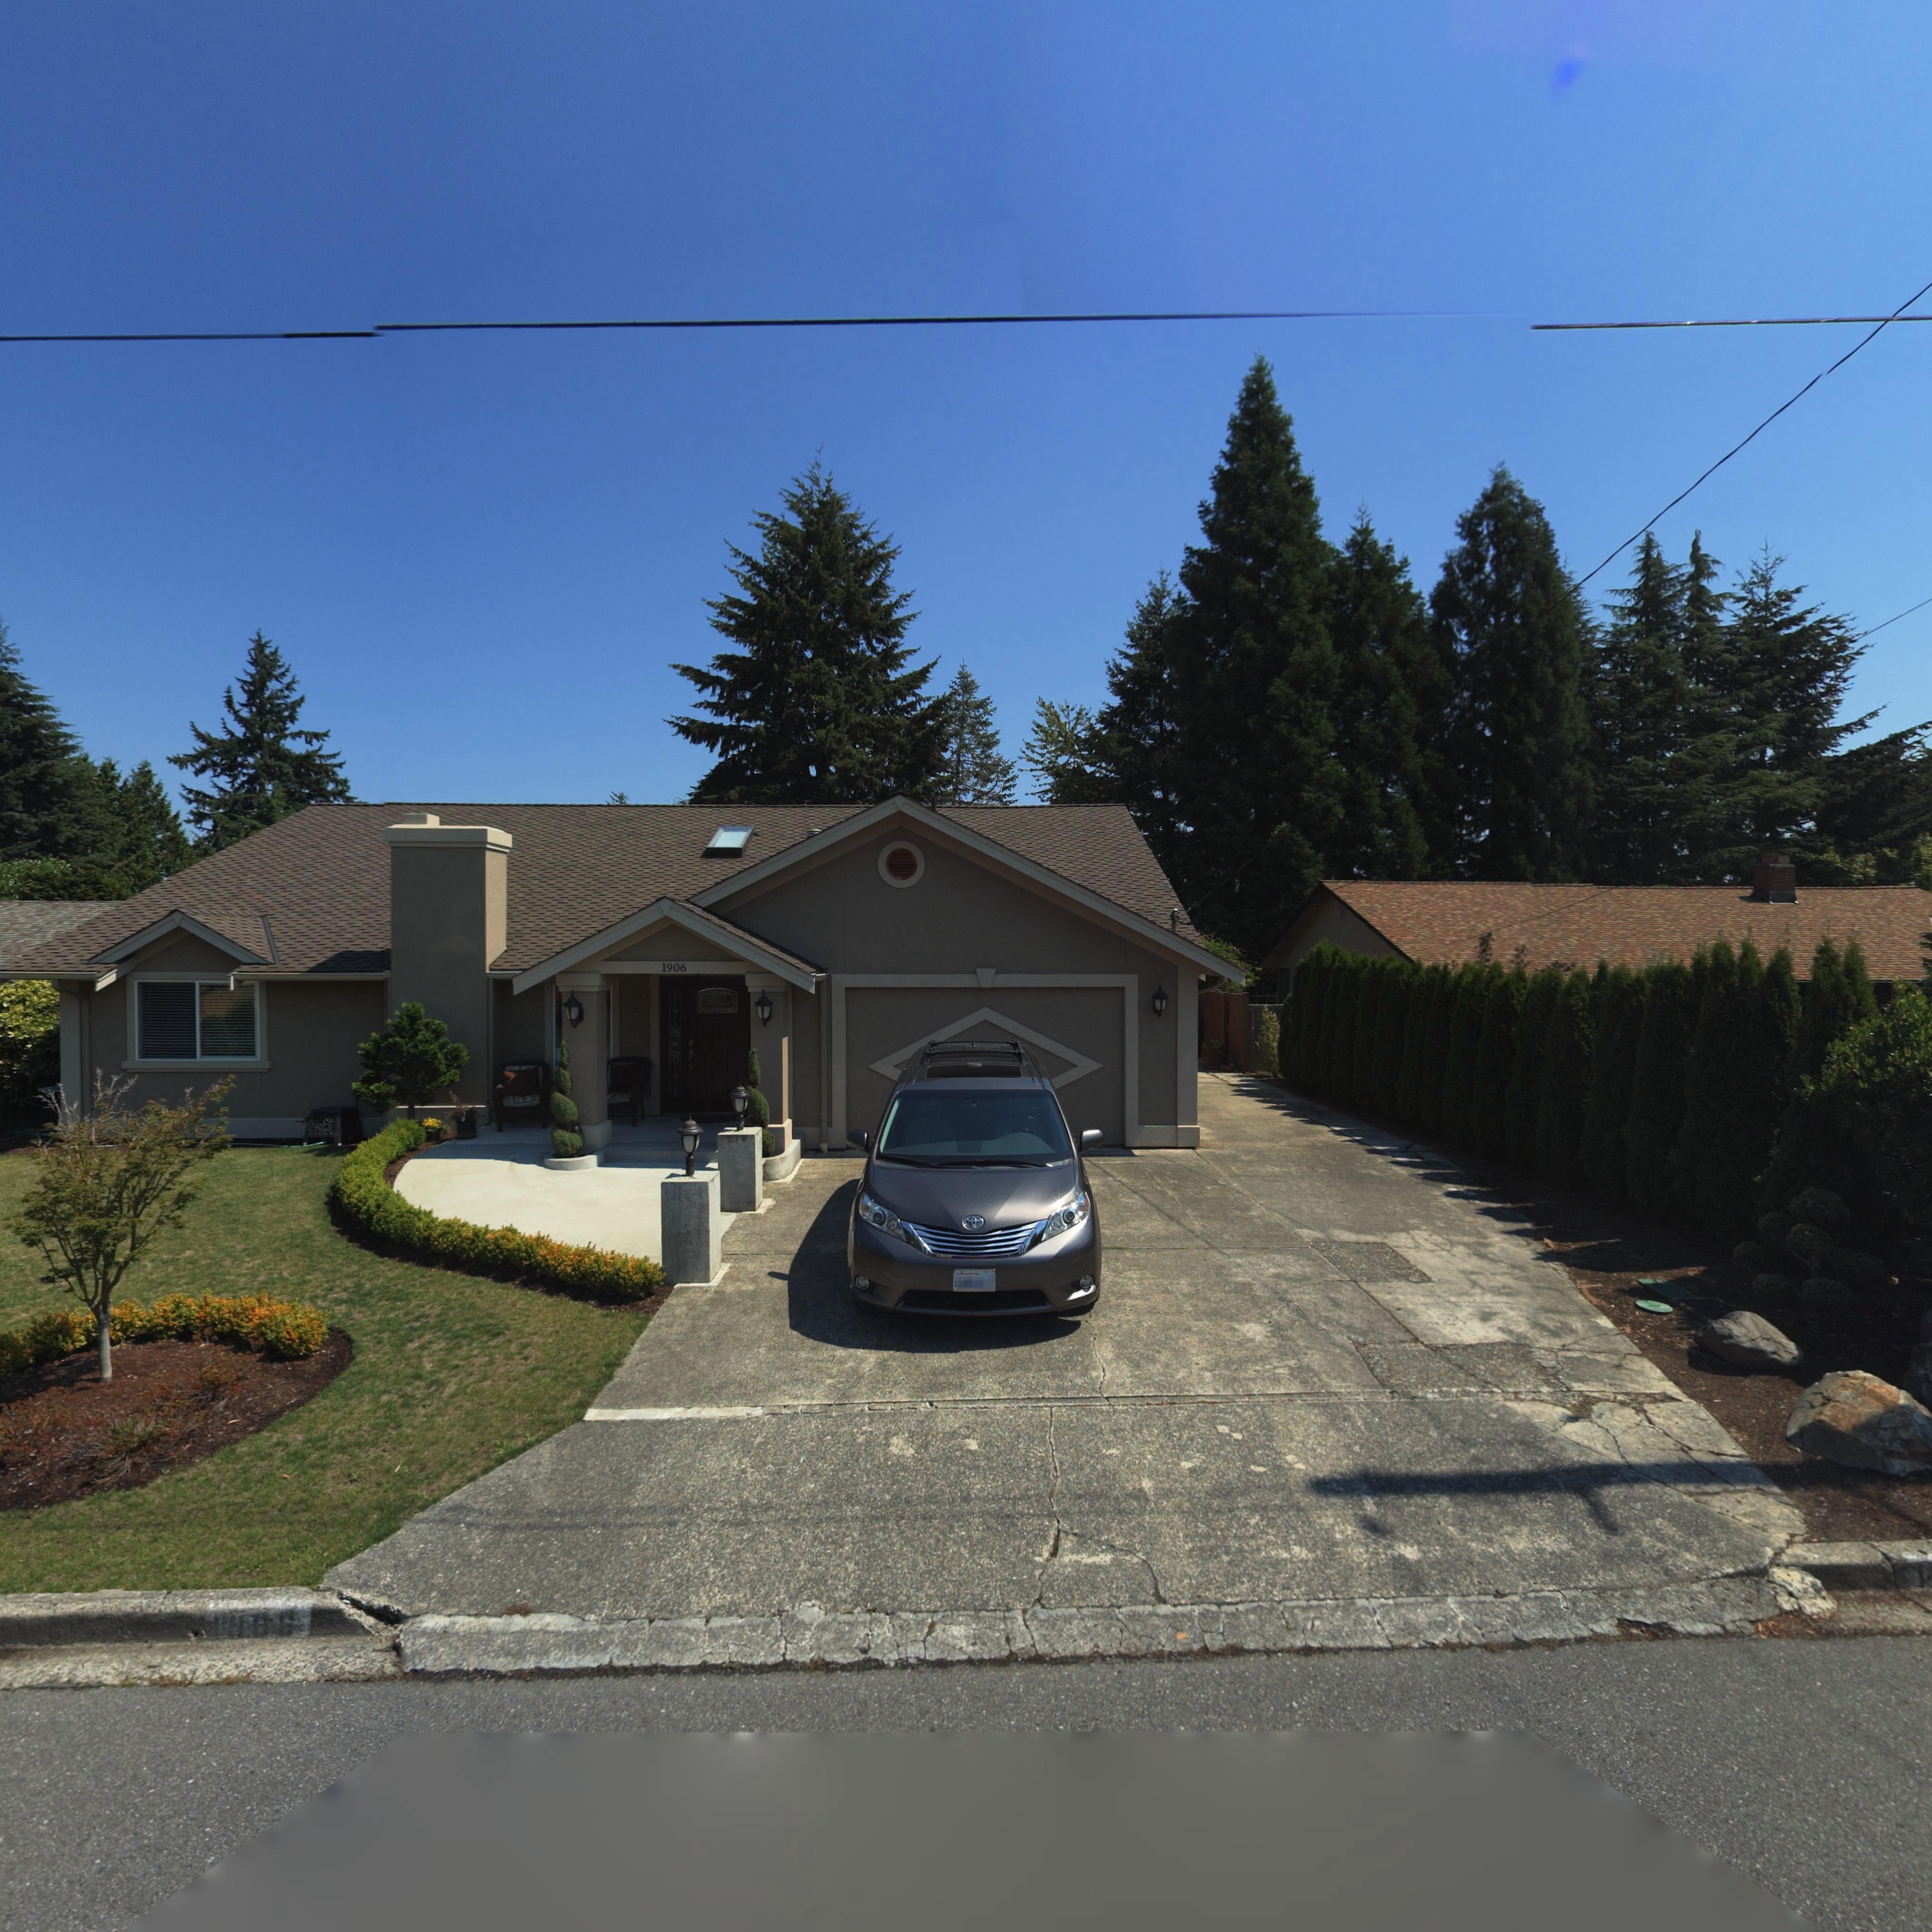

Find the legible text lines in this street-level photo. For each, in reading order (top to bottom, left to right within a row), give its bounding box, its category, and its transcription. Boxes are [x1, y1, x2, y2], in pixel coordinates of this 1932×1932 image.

[662, 962, 686, 972] StreetNumber: 1906